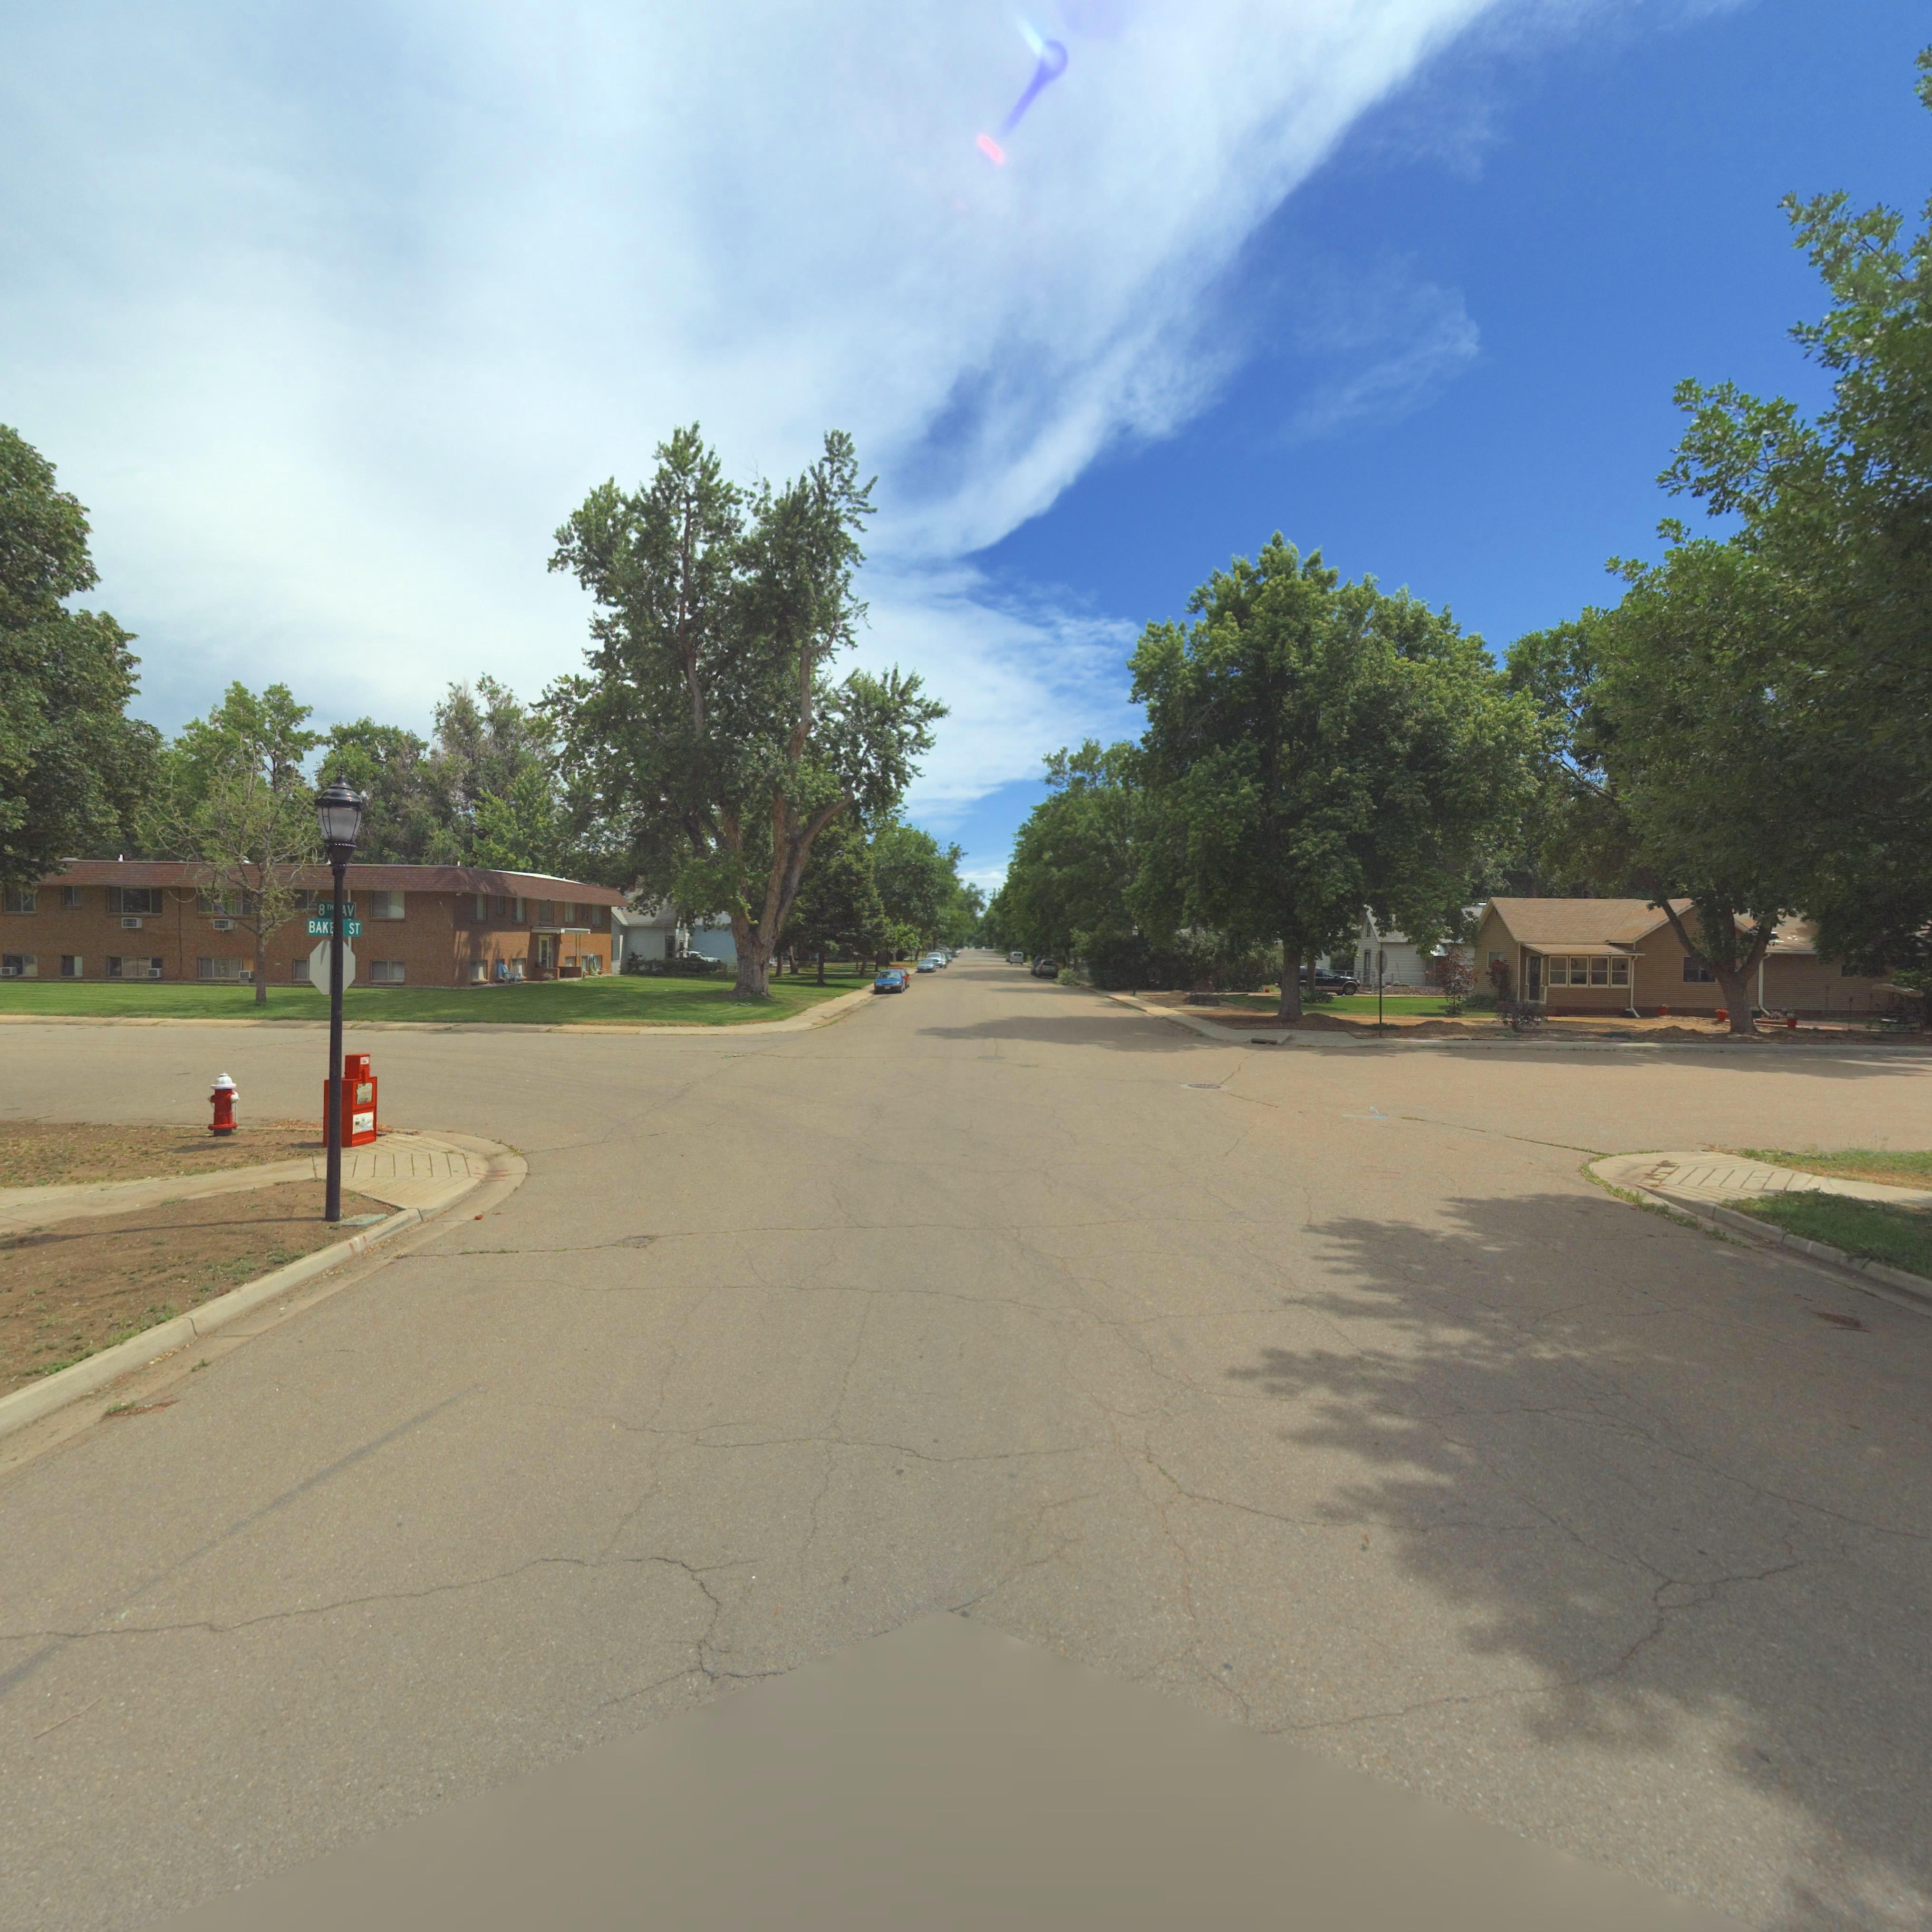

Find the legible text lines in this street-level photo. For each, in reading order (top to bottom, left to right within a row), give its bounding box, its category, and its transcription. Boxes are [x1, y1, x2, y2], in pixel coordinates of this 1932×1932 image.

[318, 903, 354, 917] StreetNumber: 8TH *V
[308, 920, 360, 935] BusinessName: BAK** ST